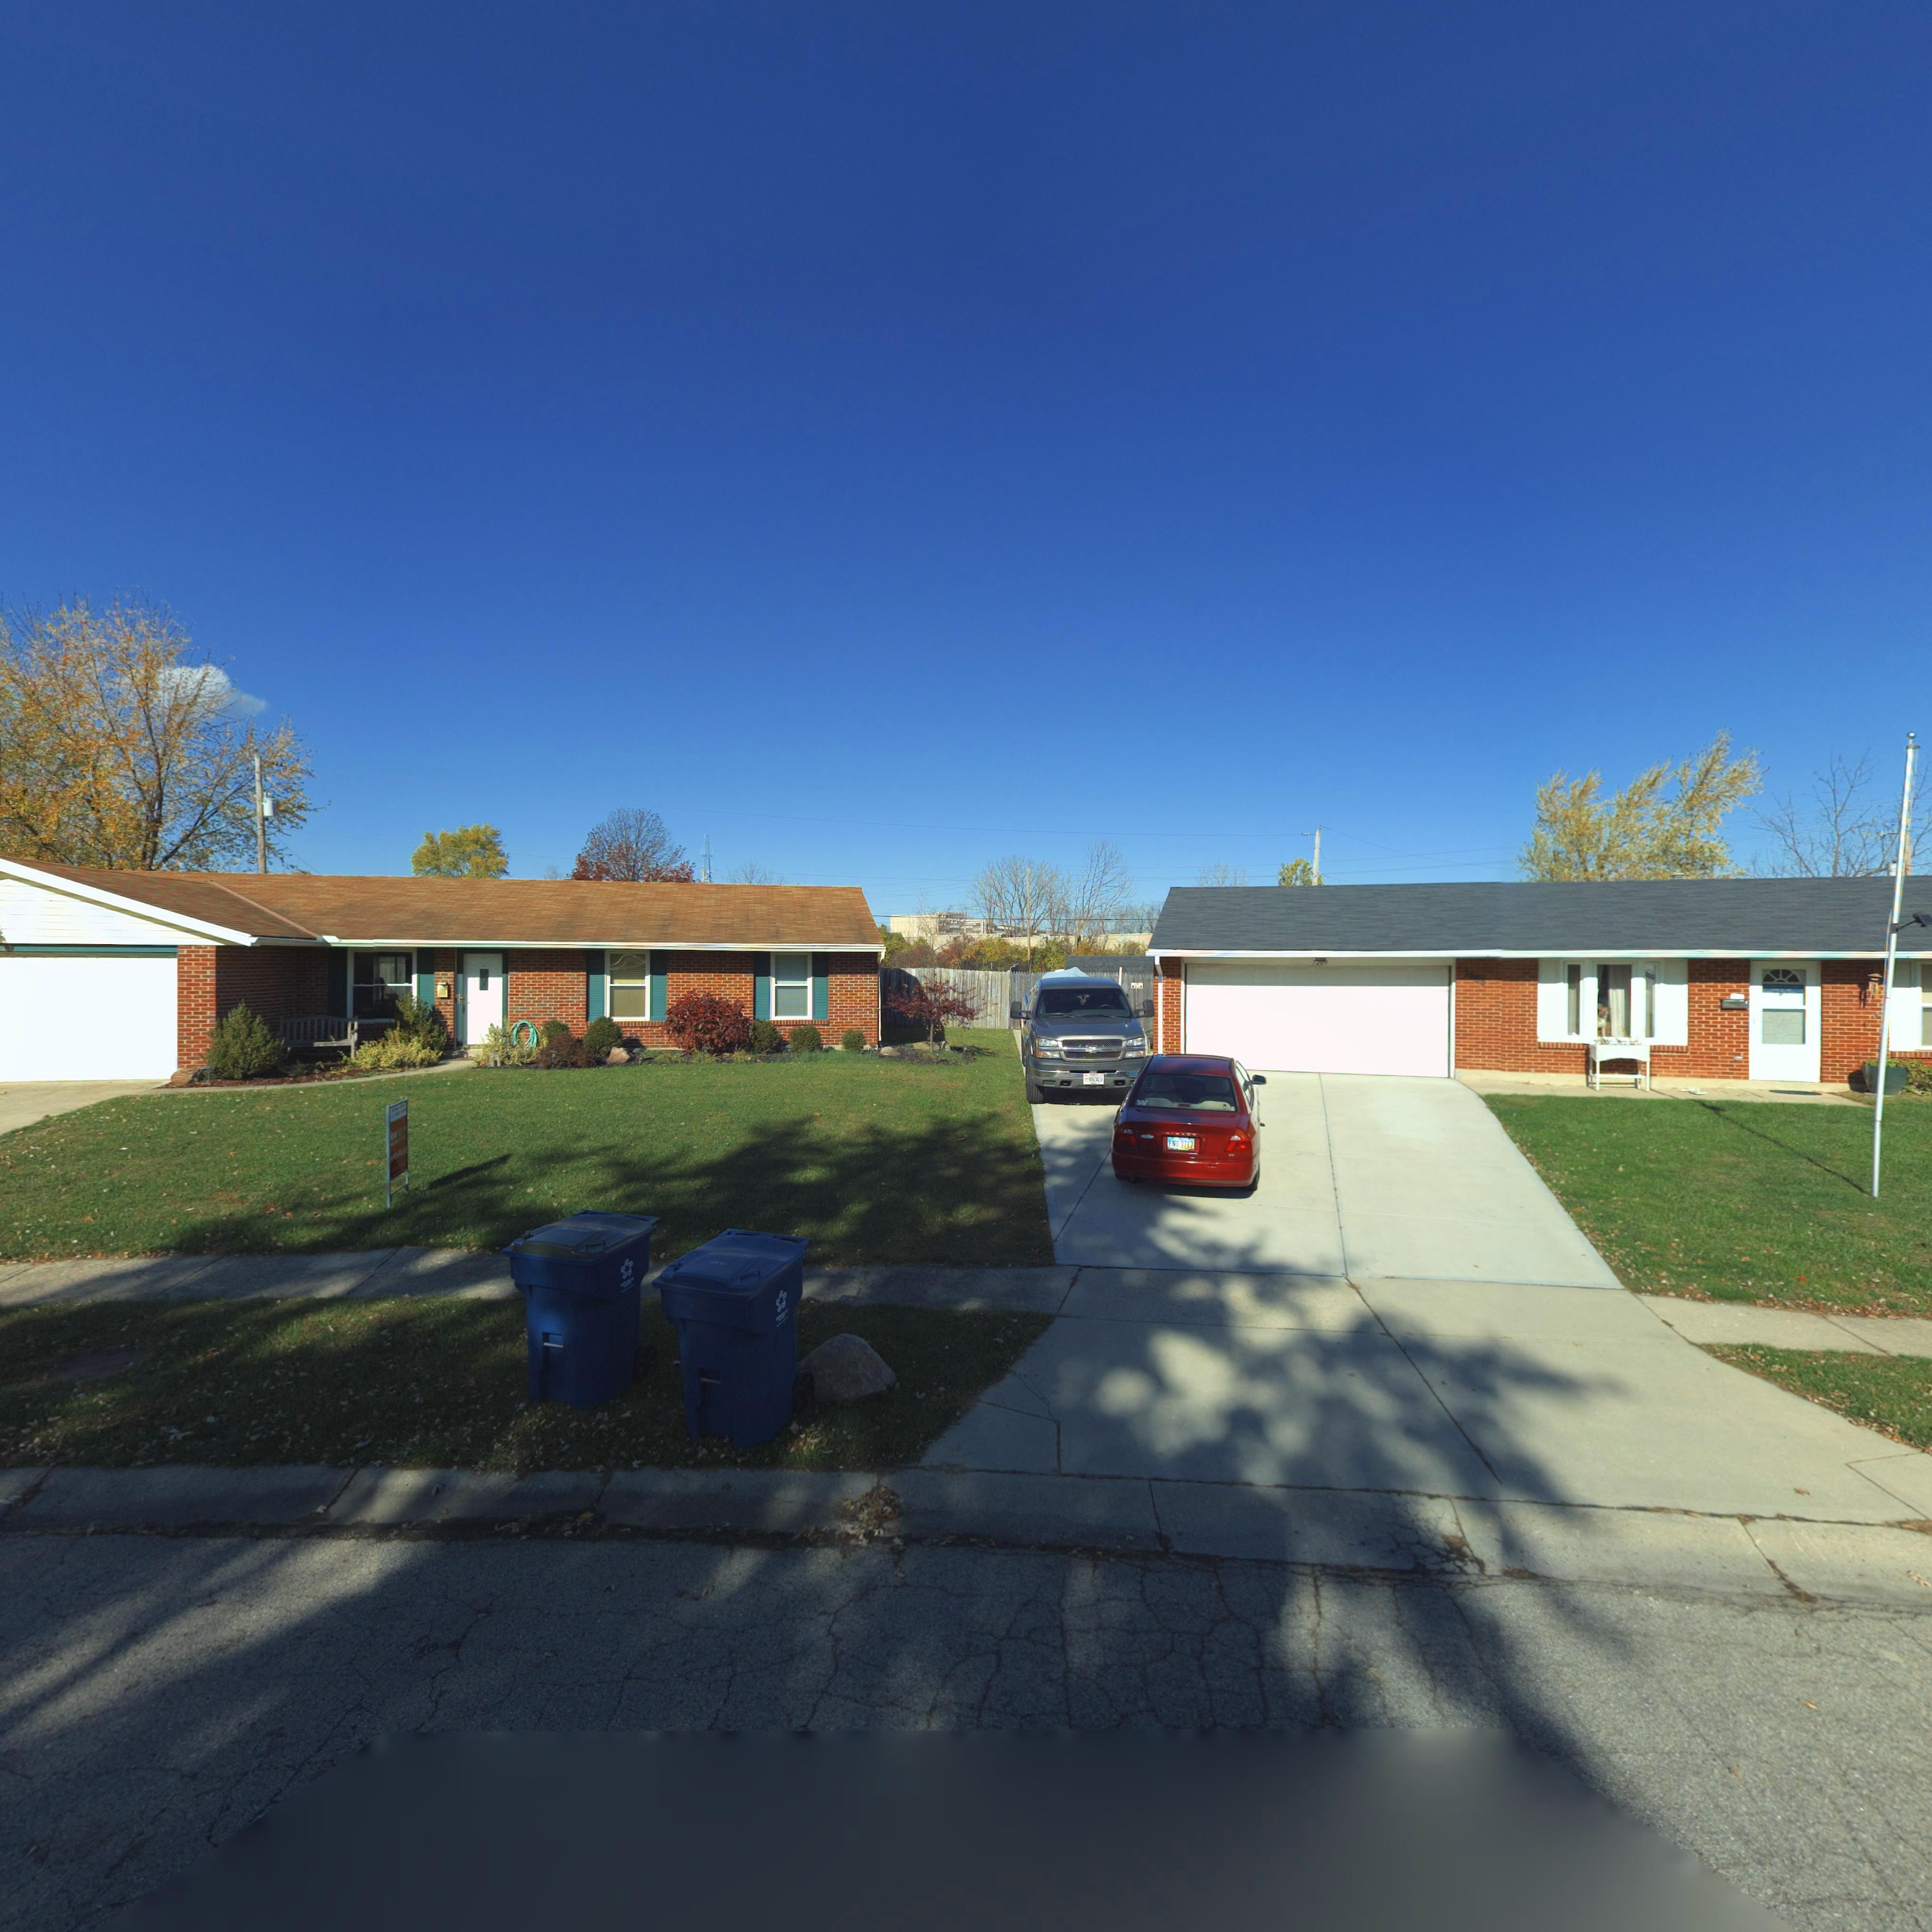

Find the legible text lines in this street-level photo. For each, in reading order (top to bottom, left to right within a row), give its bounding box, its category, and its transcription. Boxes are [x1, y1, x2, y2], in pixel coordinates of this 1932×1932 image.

[1311, 958, 1329, 966] StreetNumber: 7**9